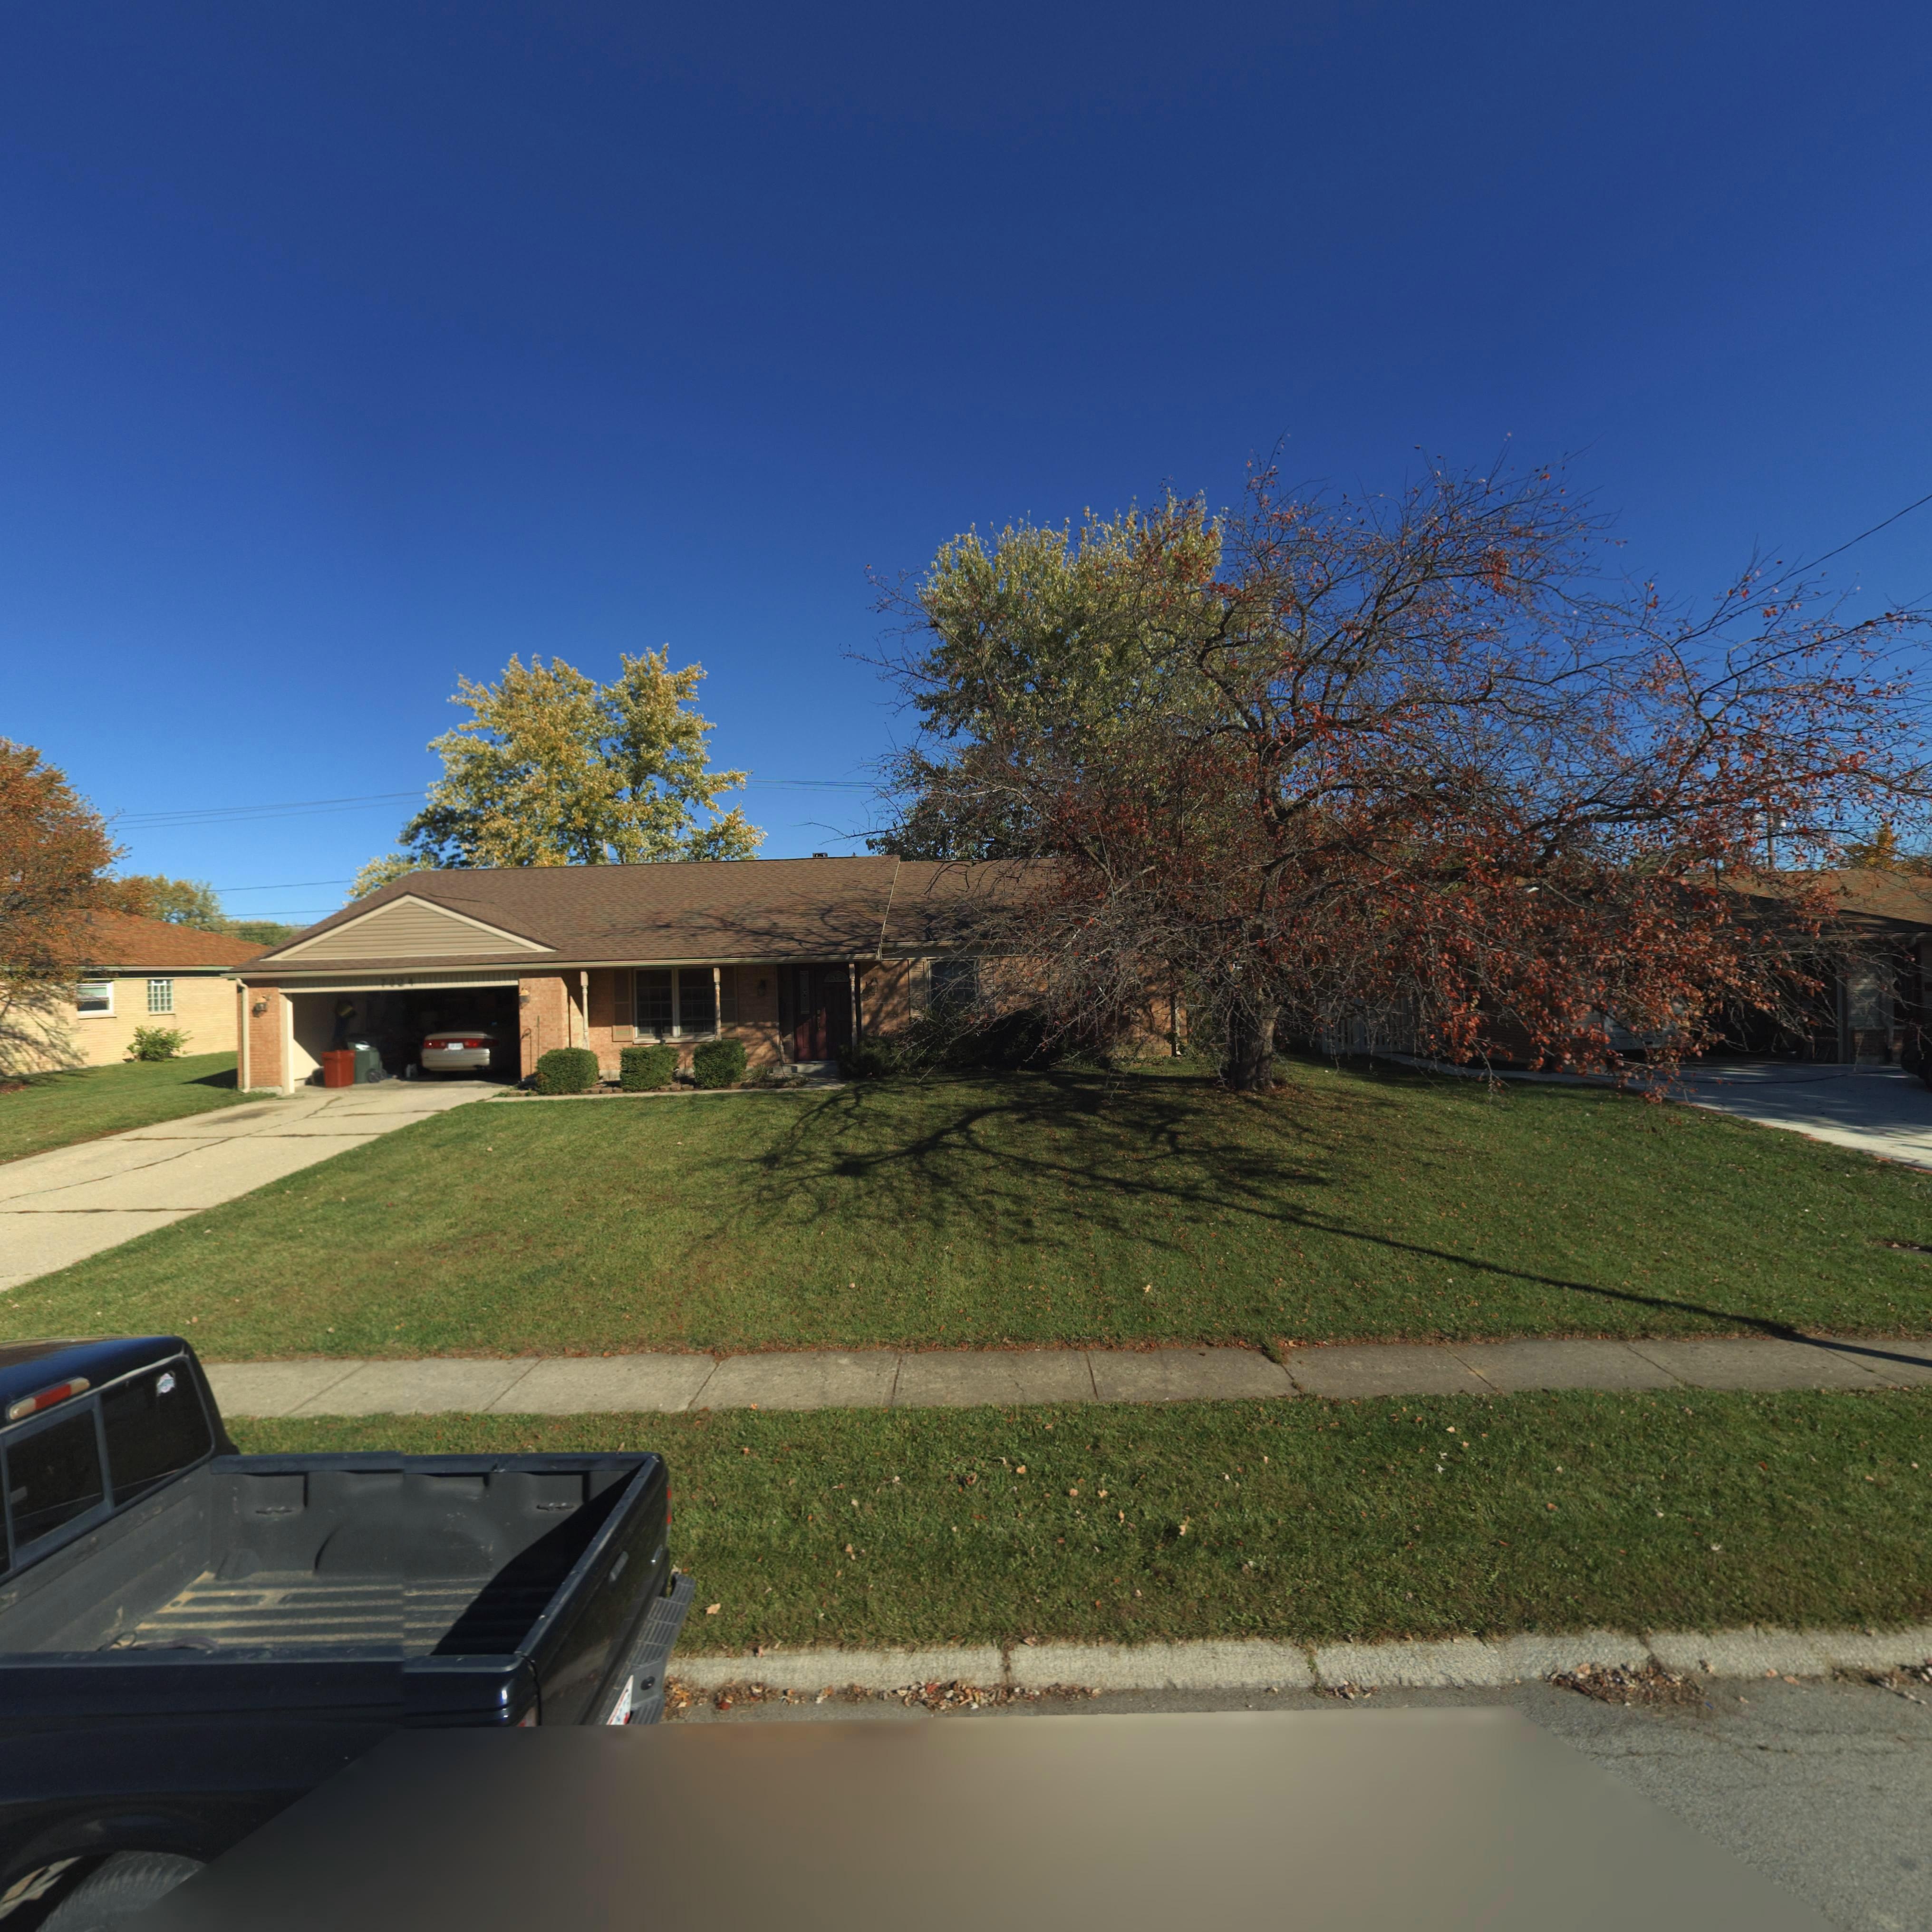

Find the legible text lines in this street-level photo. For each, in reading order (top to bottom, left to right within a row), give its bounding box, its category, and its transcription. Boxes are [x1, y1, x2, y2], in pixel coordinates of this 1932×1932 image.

[379, 976, 414, 987] StreetNumber: 7024